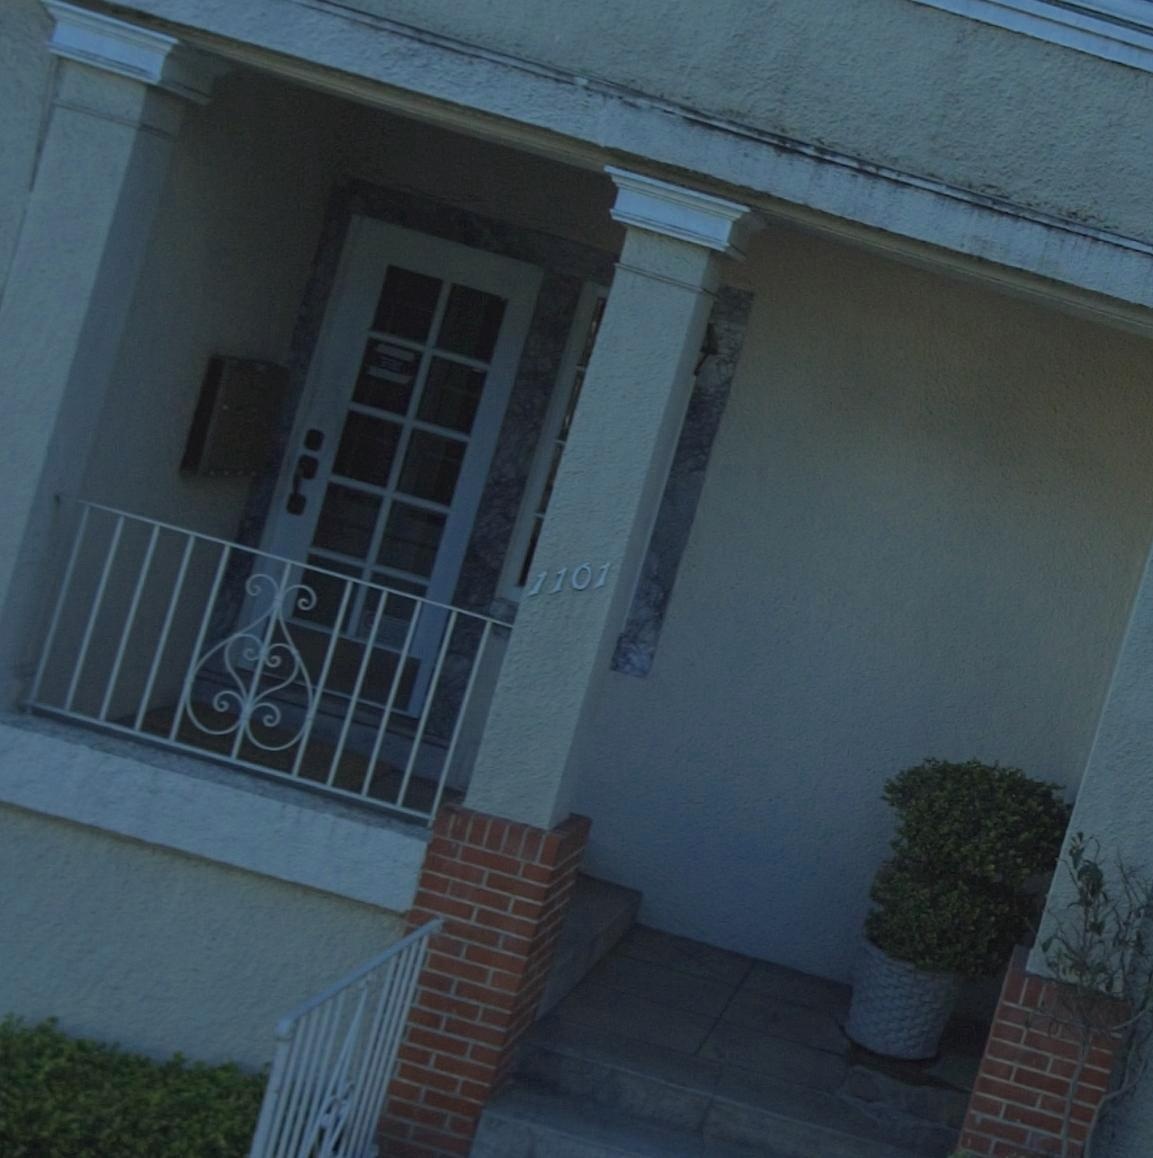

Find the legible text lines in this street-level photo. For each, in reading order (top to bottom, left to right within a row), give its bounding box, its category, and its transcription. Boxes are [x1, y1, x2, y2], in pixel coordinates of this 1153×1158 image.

[524, 557, 613, 600] StreetNumber: 1101